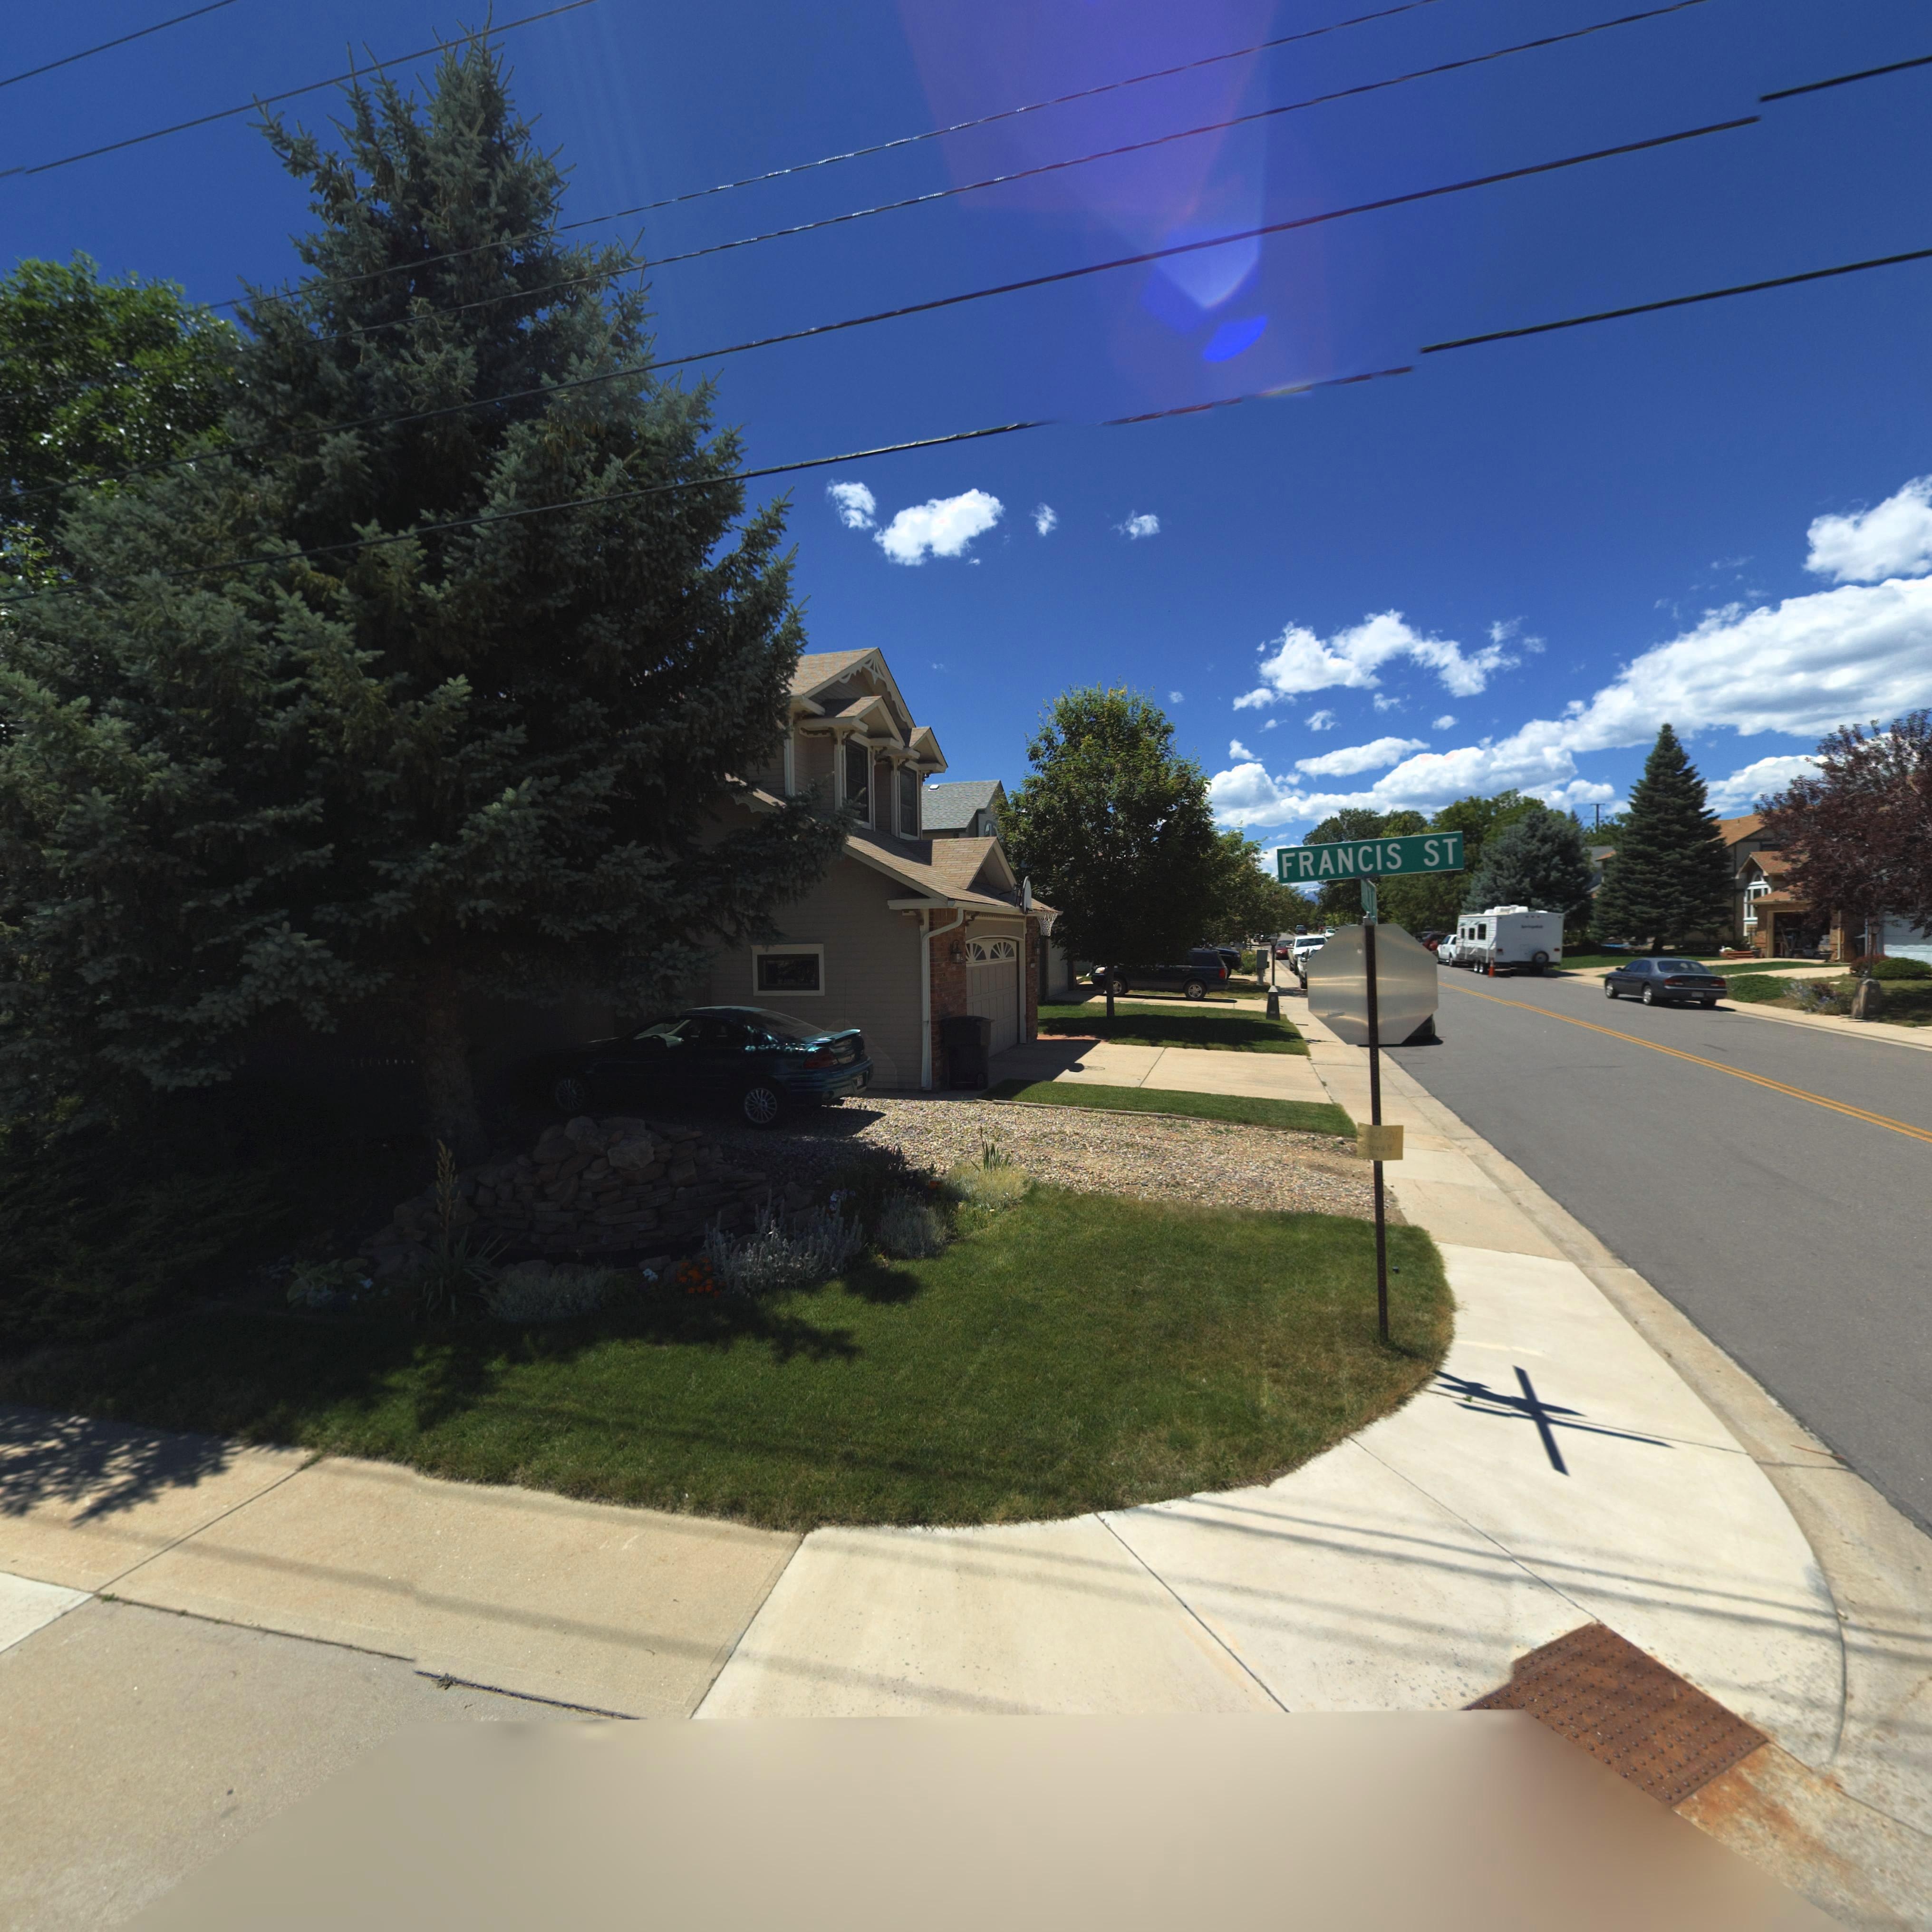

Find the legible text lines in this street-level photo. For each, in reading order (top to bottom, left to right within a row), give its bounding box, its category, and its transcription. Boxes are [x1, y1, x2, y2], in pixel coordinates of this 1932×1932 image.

[1281, 837, 1458, 879] StreetName: FRANCIS ST